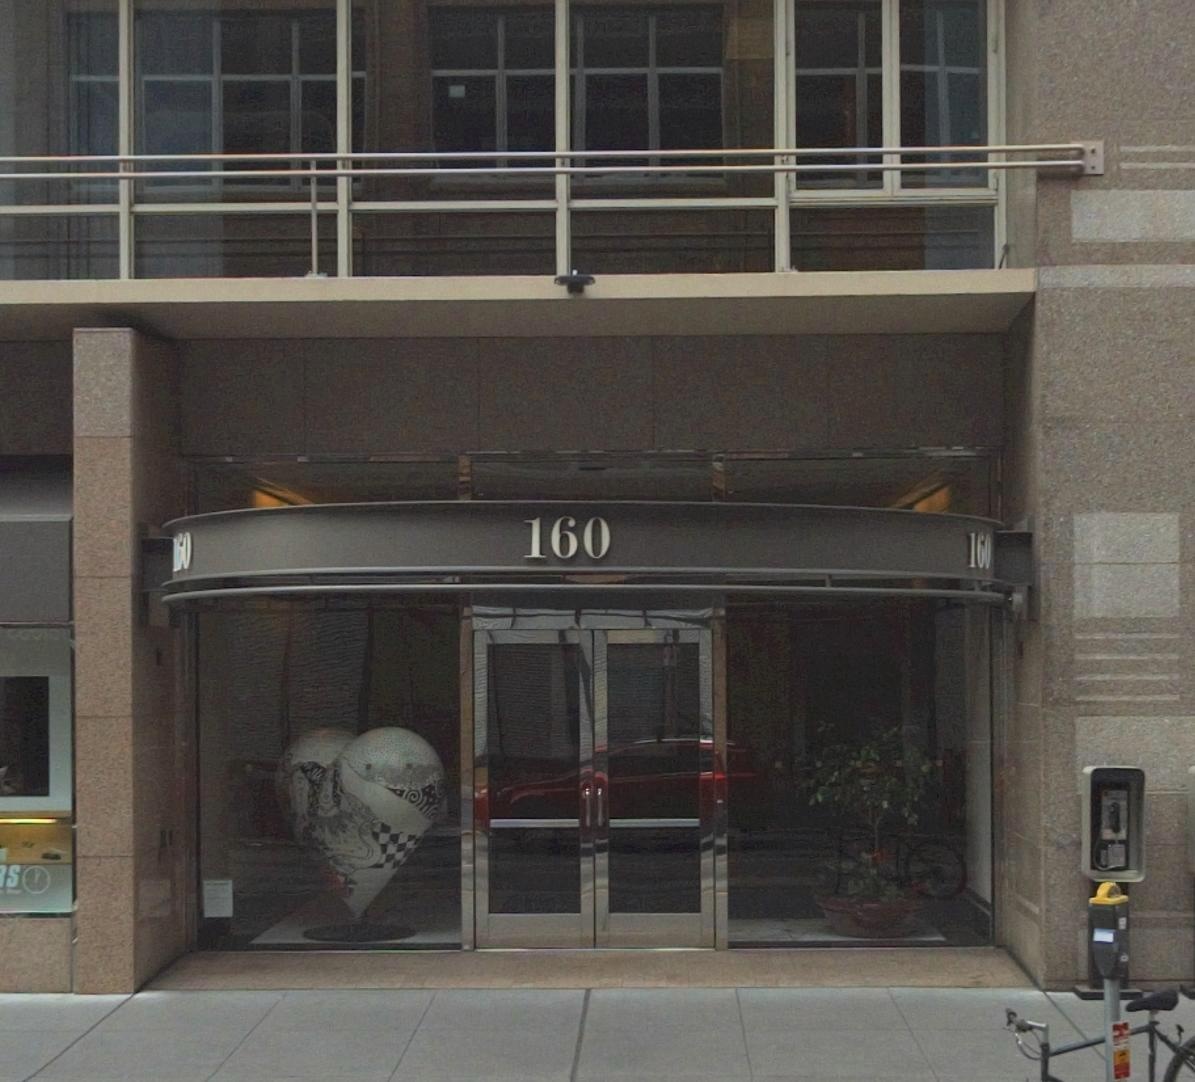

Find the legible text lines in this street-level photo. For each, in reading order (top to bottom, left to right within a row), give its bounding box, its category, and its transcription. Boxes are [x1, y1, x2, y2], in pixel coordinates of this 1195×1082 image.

[172, 531, 193, 572] StreetNumber: **0
[522, 514, 613, 560] StreetNumber: 160
[968, 531, 992, 569] StreetNumber: 160
[5, 864, 21, 889] None: S